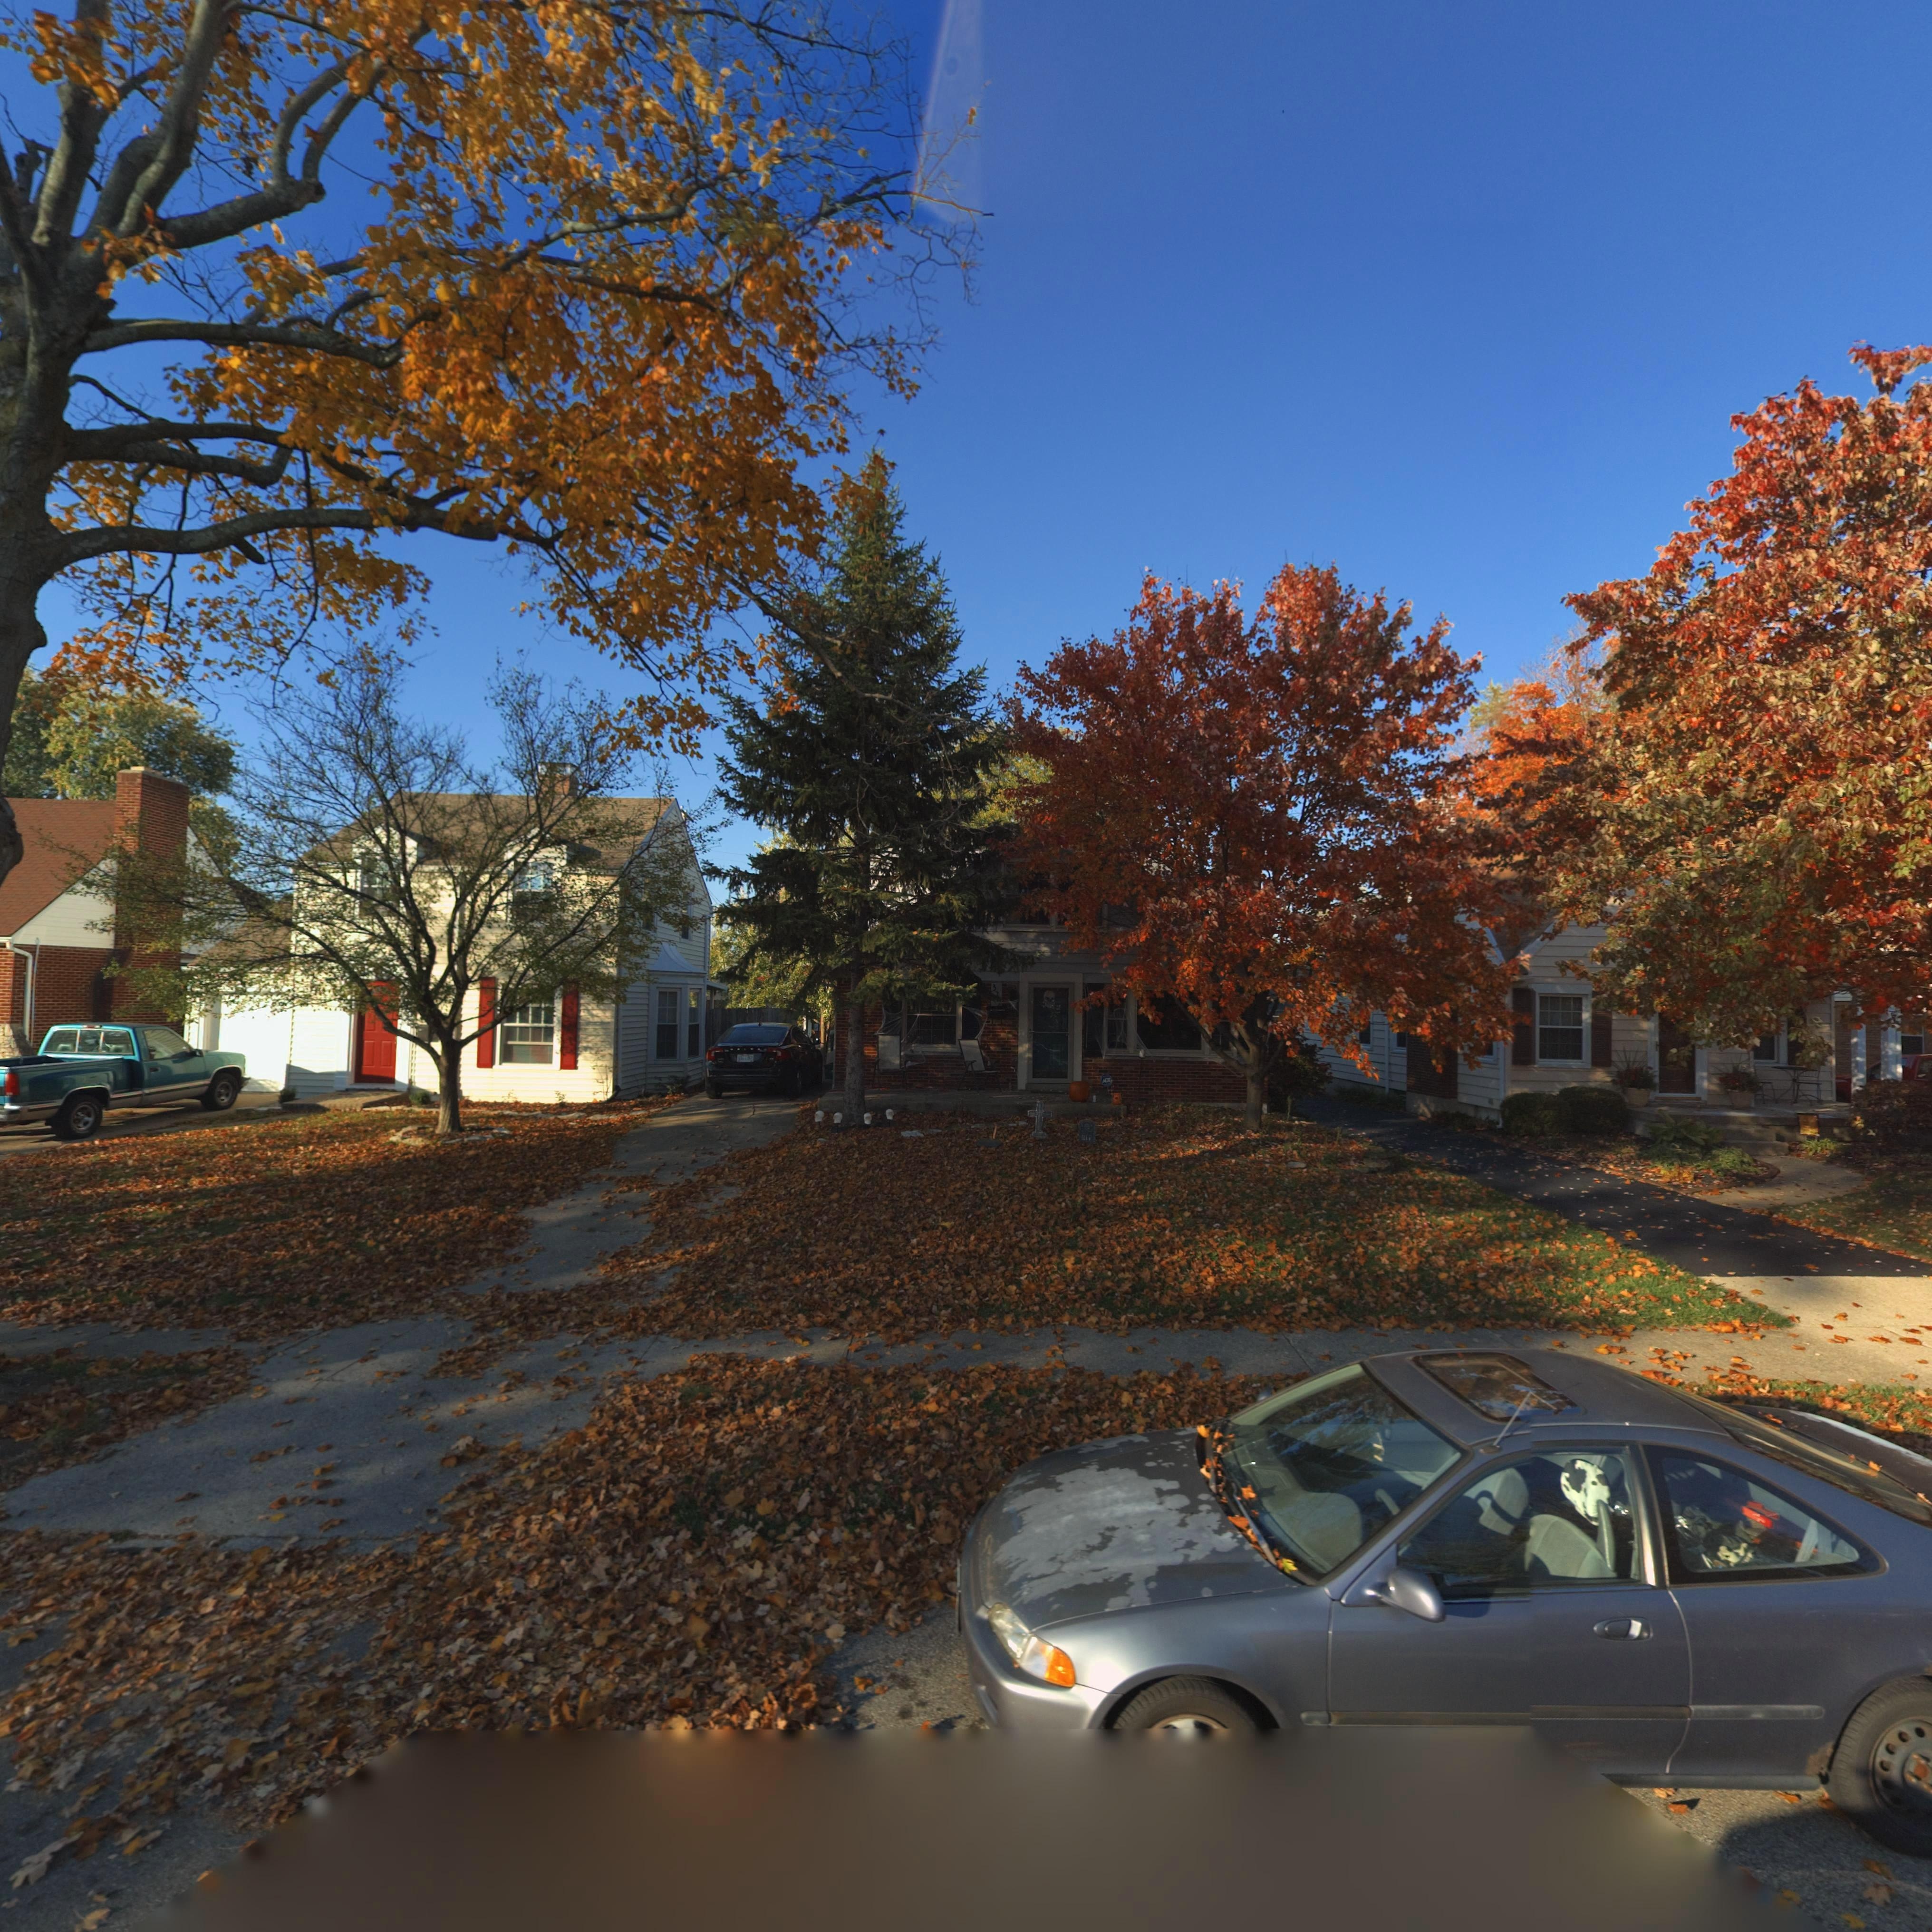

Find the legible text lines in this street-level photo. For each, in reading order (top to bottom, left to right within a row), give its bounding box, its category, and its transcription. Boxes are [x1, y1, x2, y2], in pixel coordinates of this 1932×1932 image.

[991, 983, 997, 992] StreetNumber: 3